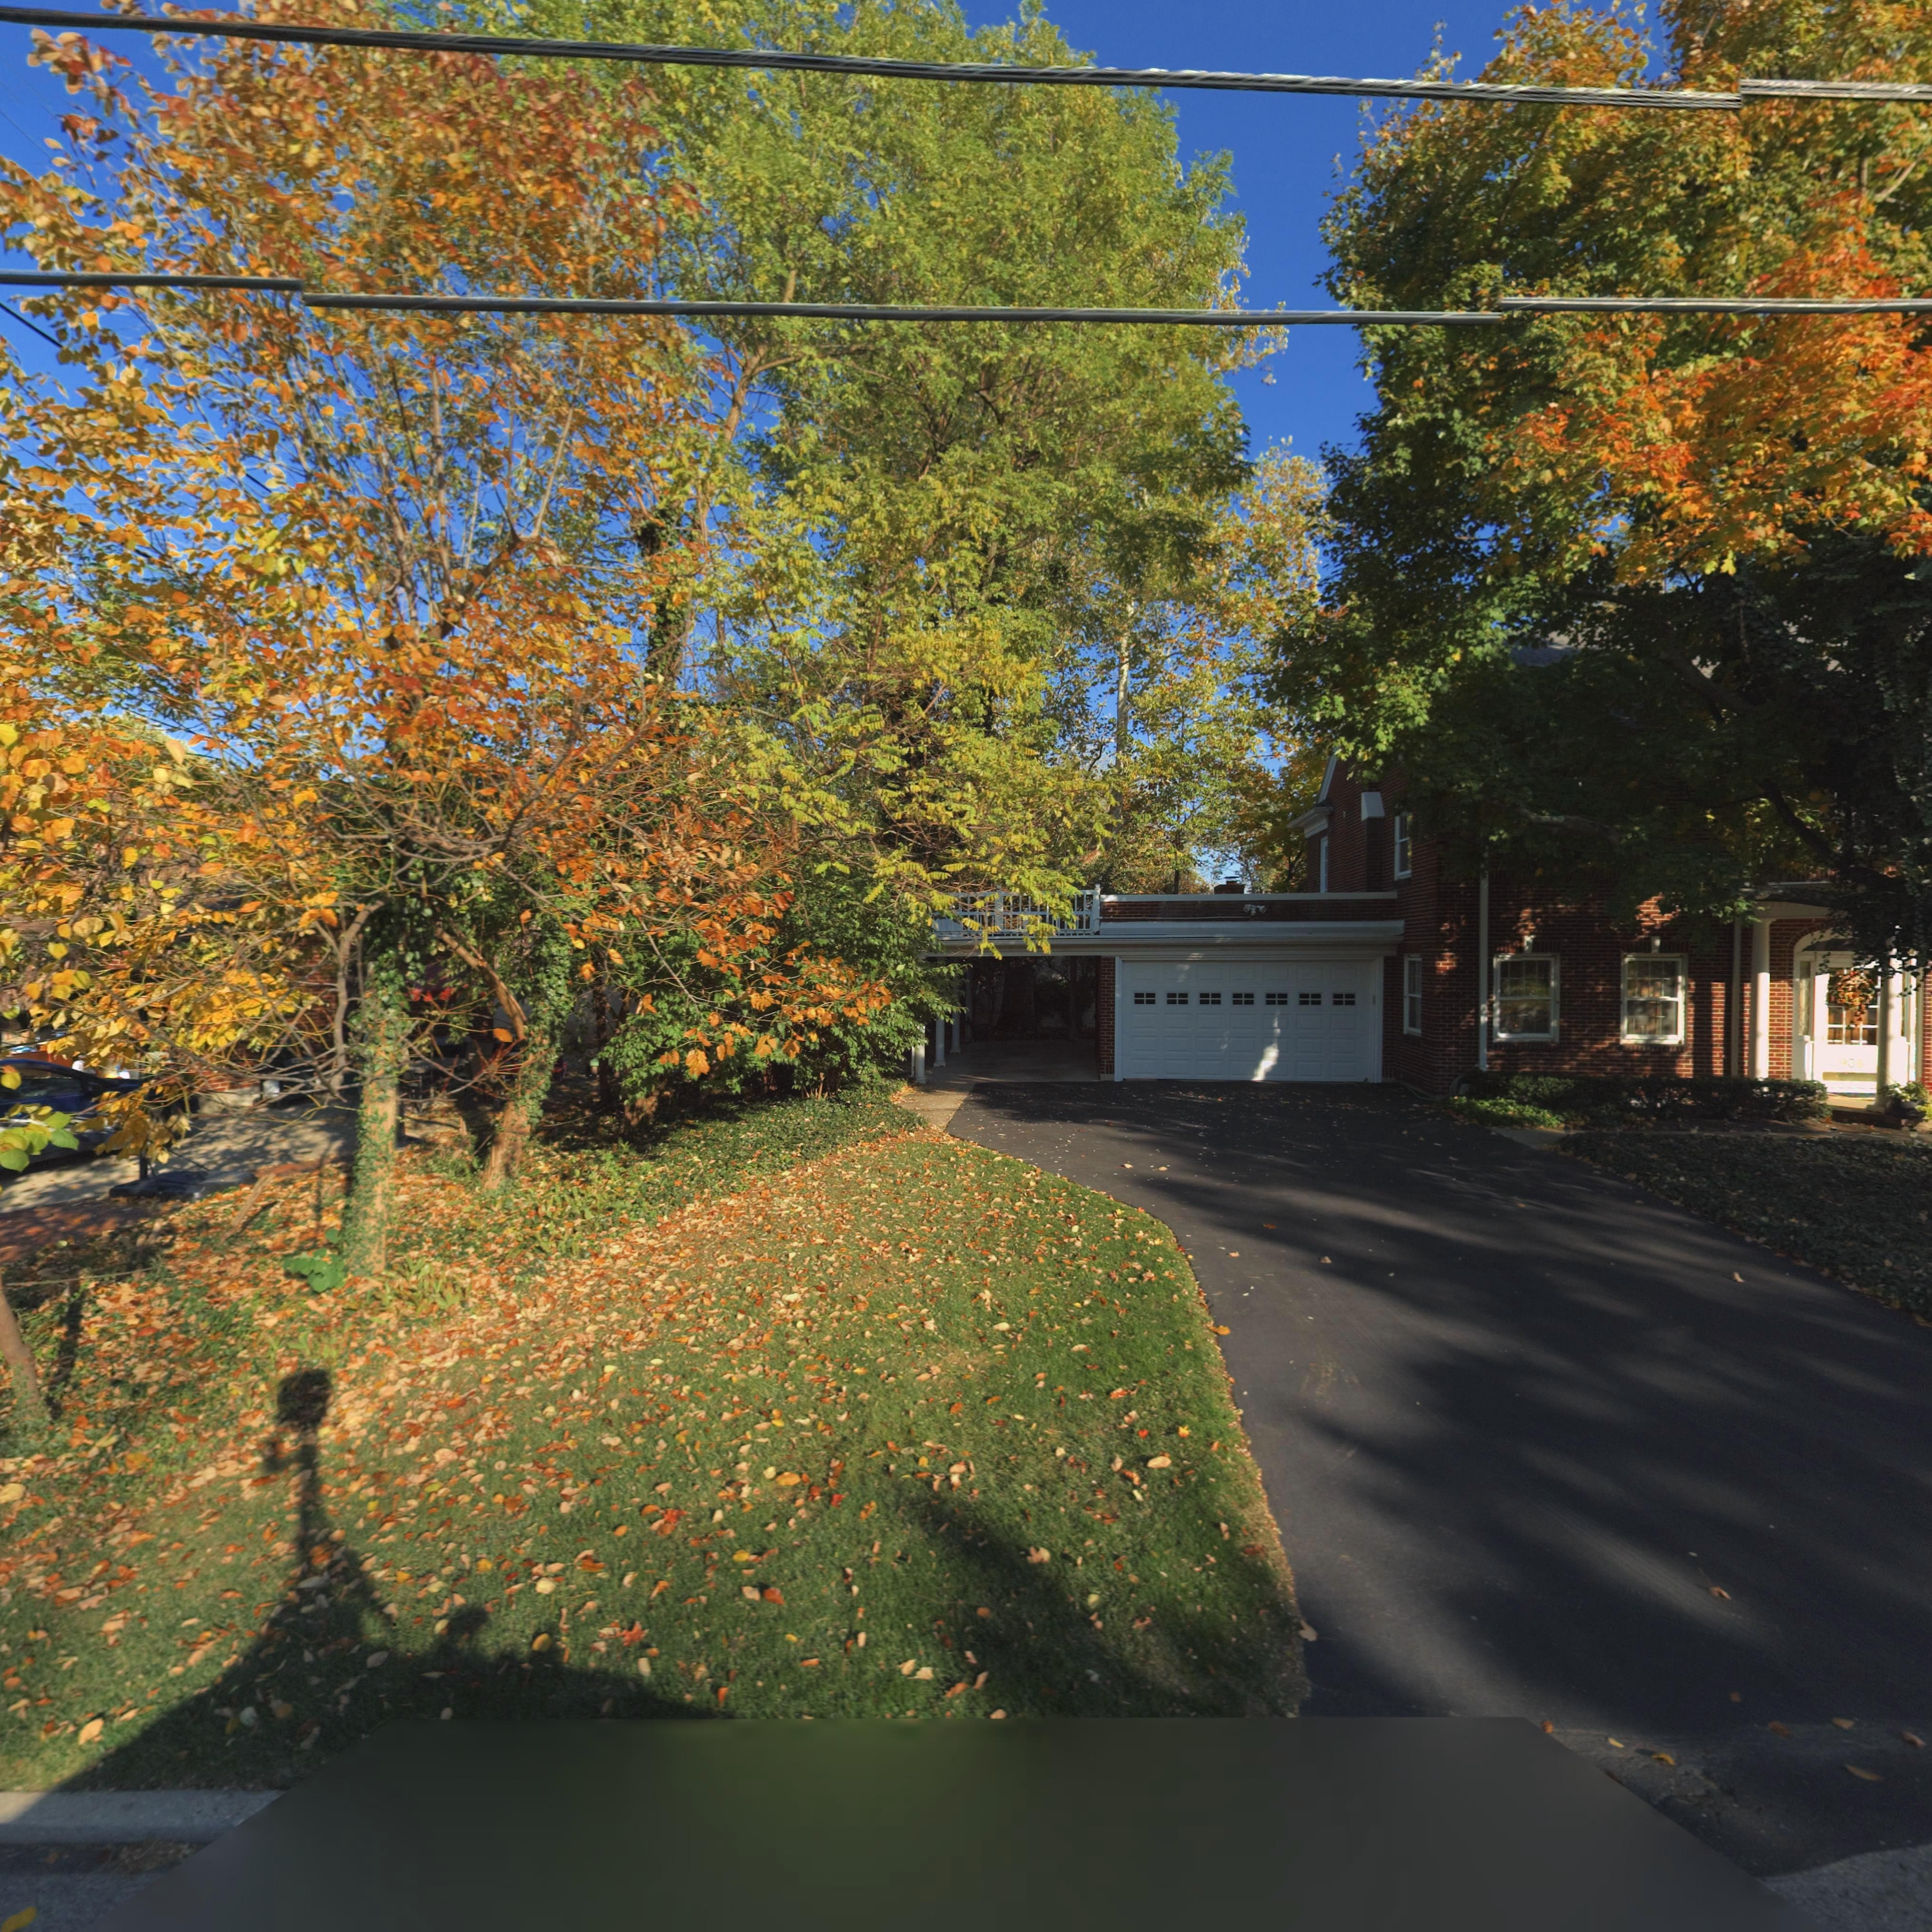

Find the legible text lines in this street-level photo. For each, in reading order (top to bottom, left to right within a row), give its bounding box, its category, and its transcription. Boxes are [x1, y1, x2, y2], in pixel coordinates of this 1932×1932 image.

[1838, 1057, 1864, 1068] StreetNumber: *3*